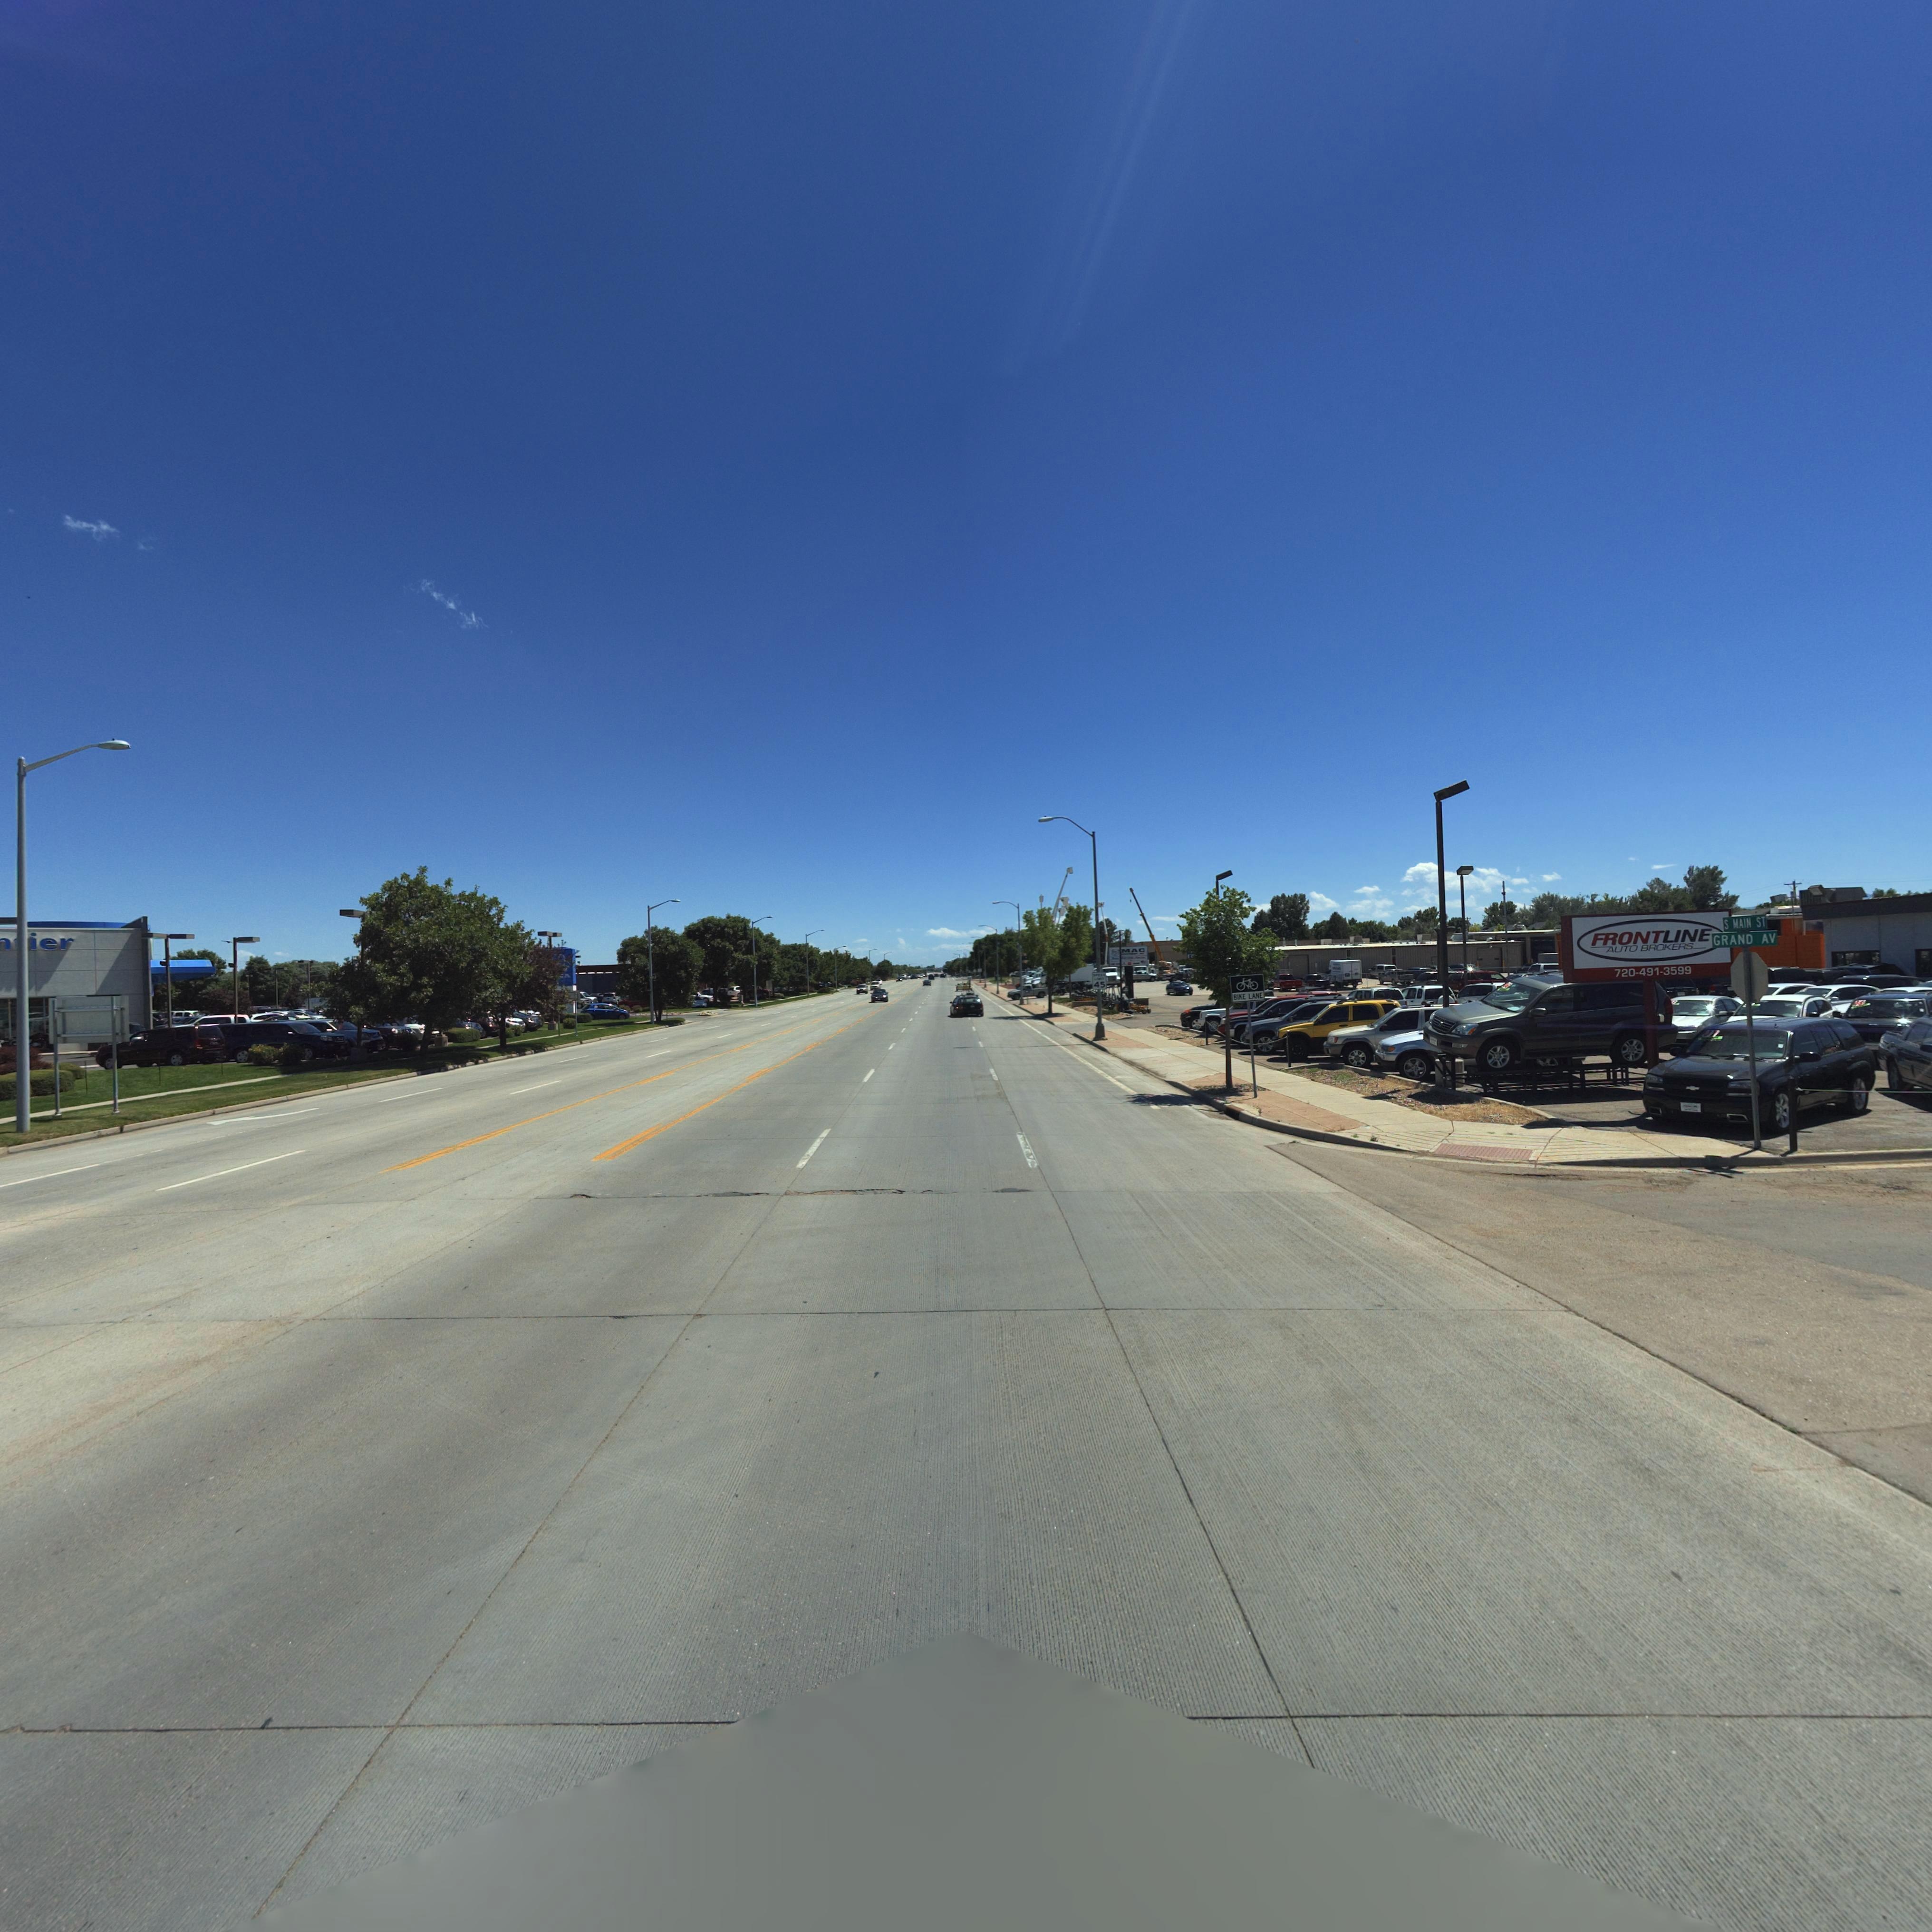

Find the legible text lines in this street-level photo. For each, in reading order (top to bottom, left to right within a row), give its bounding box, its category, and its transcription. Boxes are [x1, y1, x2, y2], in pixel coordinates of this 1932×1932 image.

[1722, 916, 1767, 930] StreetName: S MAIN ST
[13, 931, 75, 950] BusinessName: *ier
[1121, 948, 1145, 953] BusinessName: MAC
[1605, 942, 1694, 953] BusinessName: AUTO BROKERS
[1590, 927, 1712, 947] BusinessName: FRONTLINE
[1712, 931, 1777, 947] StreetName: GRAND AV
[555, 973, 571, 978] BusinessName: *A